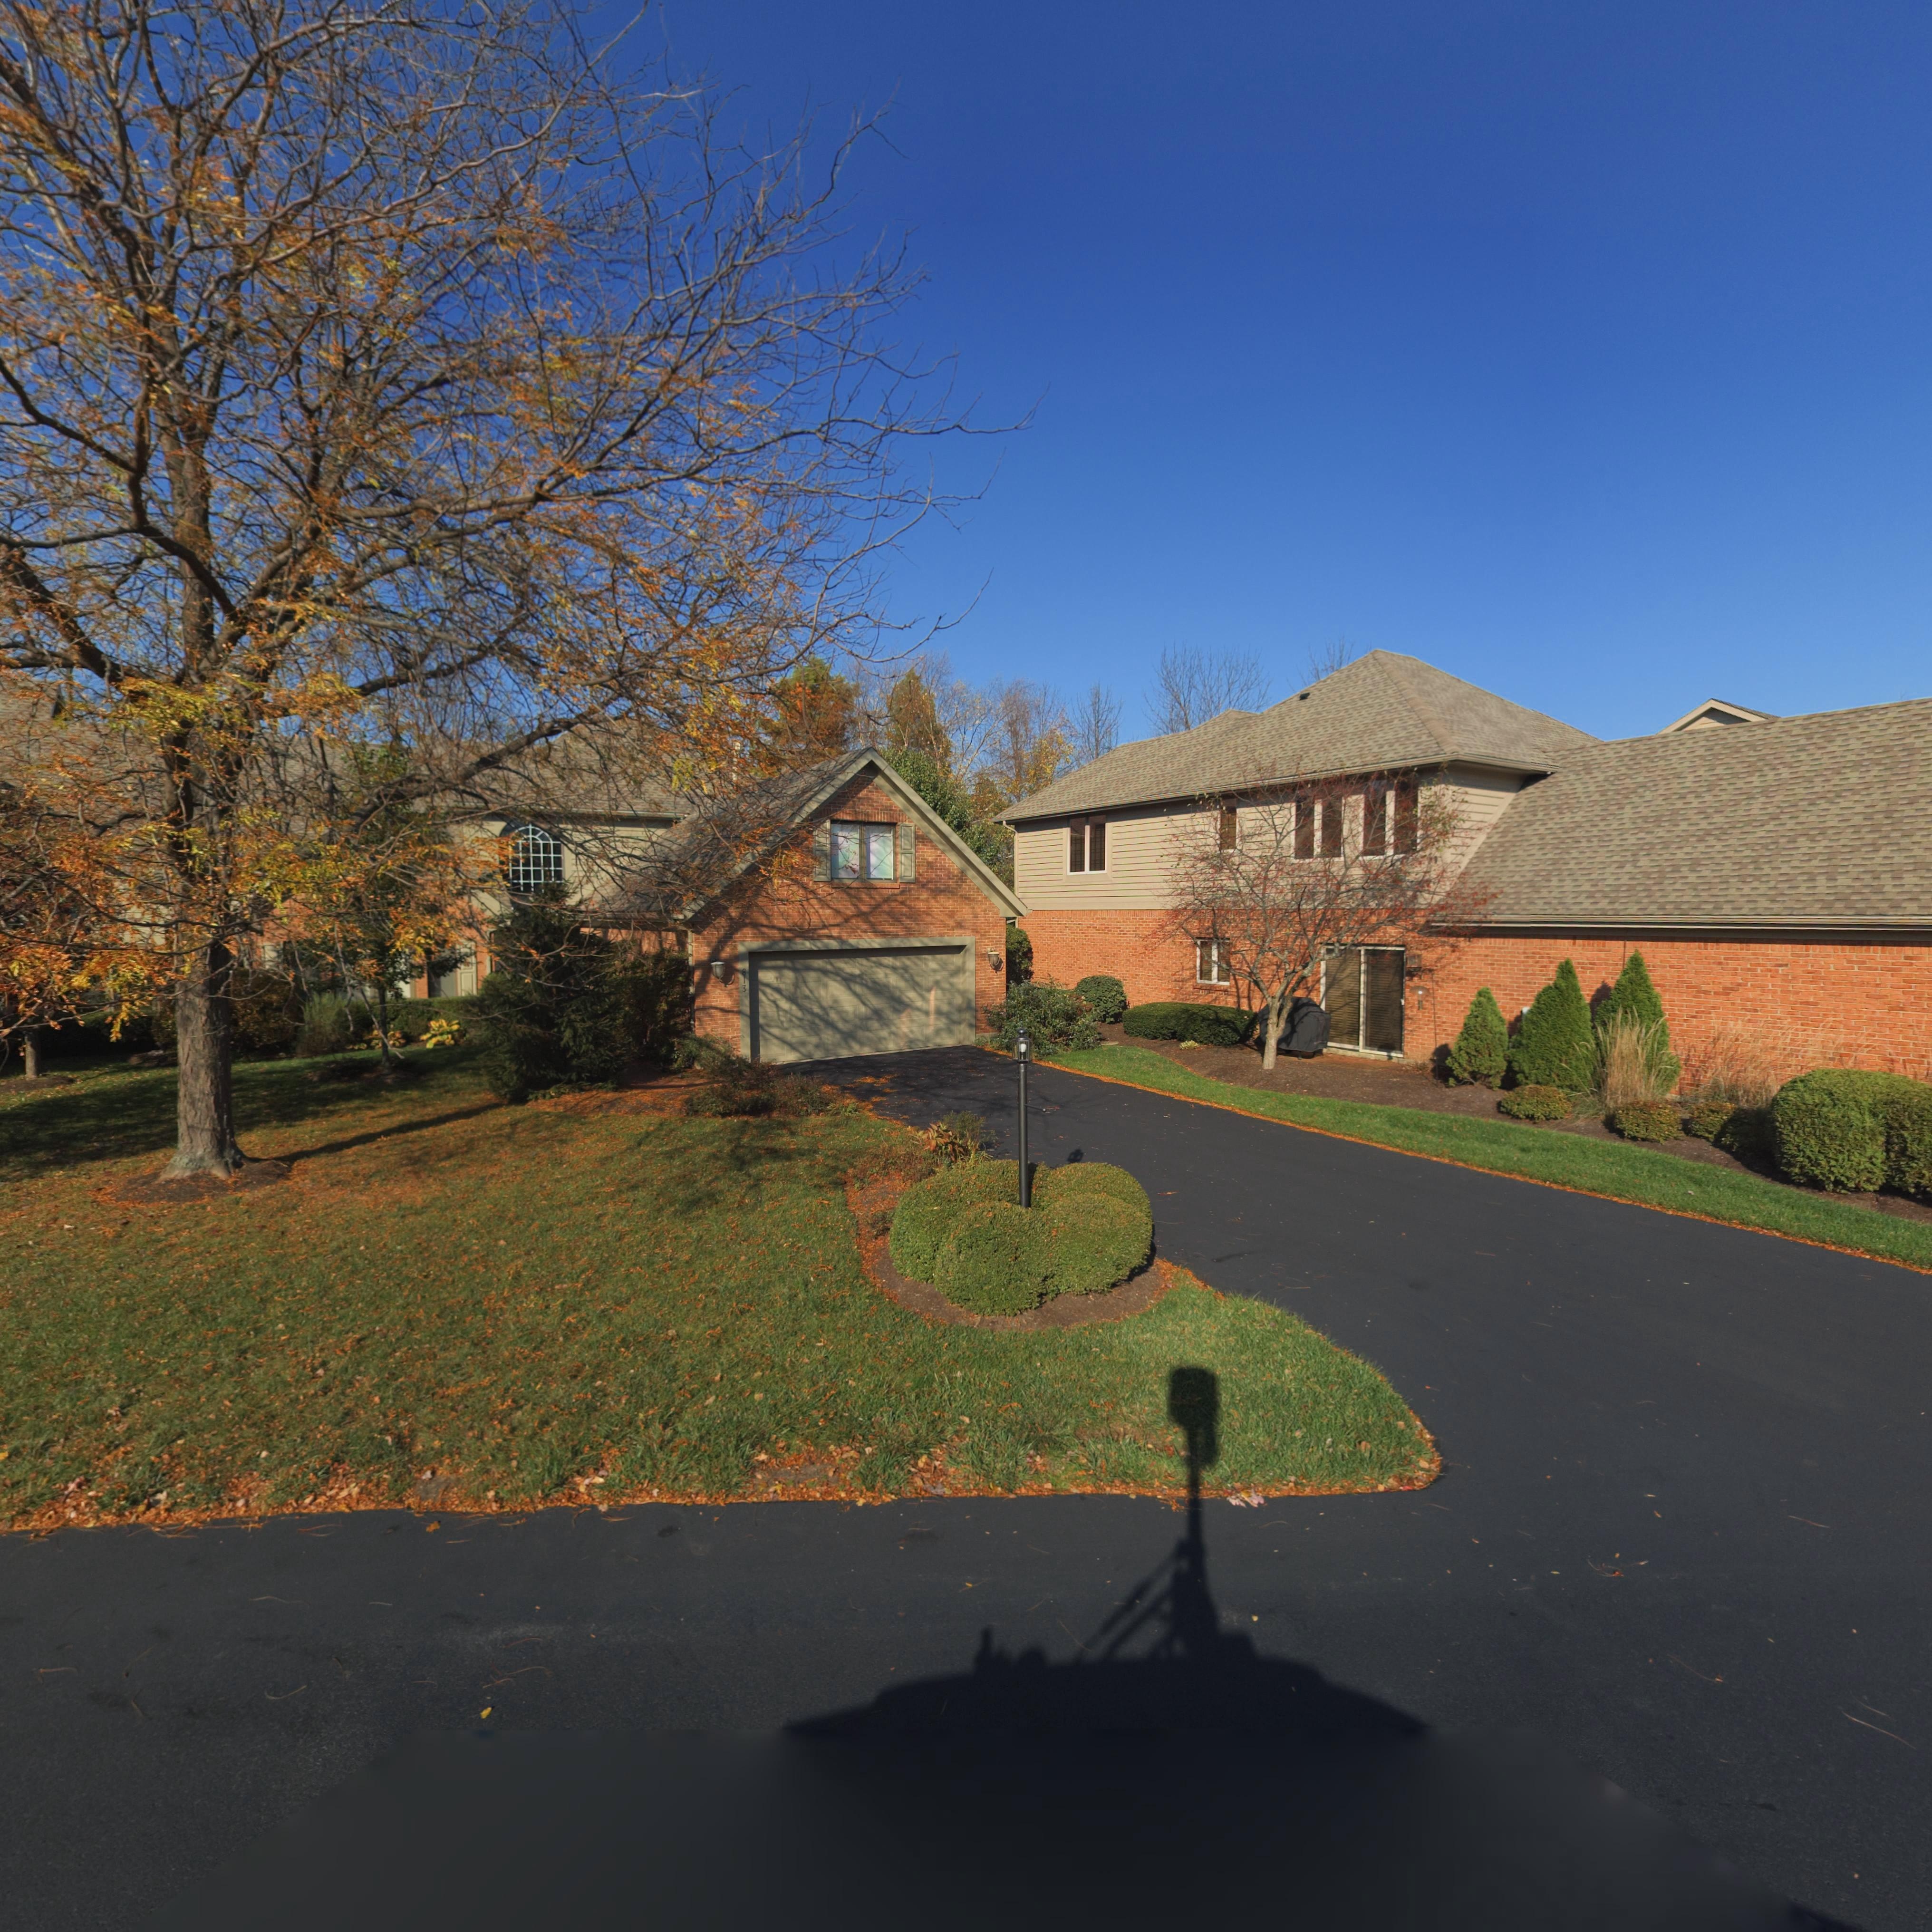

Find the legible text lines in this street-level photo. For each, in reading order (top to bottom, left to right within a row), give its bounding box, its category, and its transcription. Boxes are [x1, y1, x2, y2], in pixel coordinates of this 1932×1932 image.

[741, 967, 747, 993] StreetNumber: 813